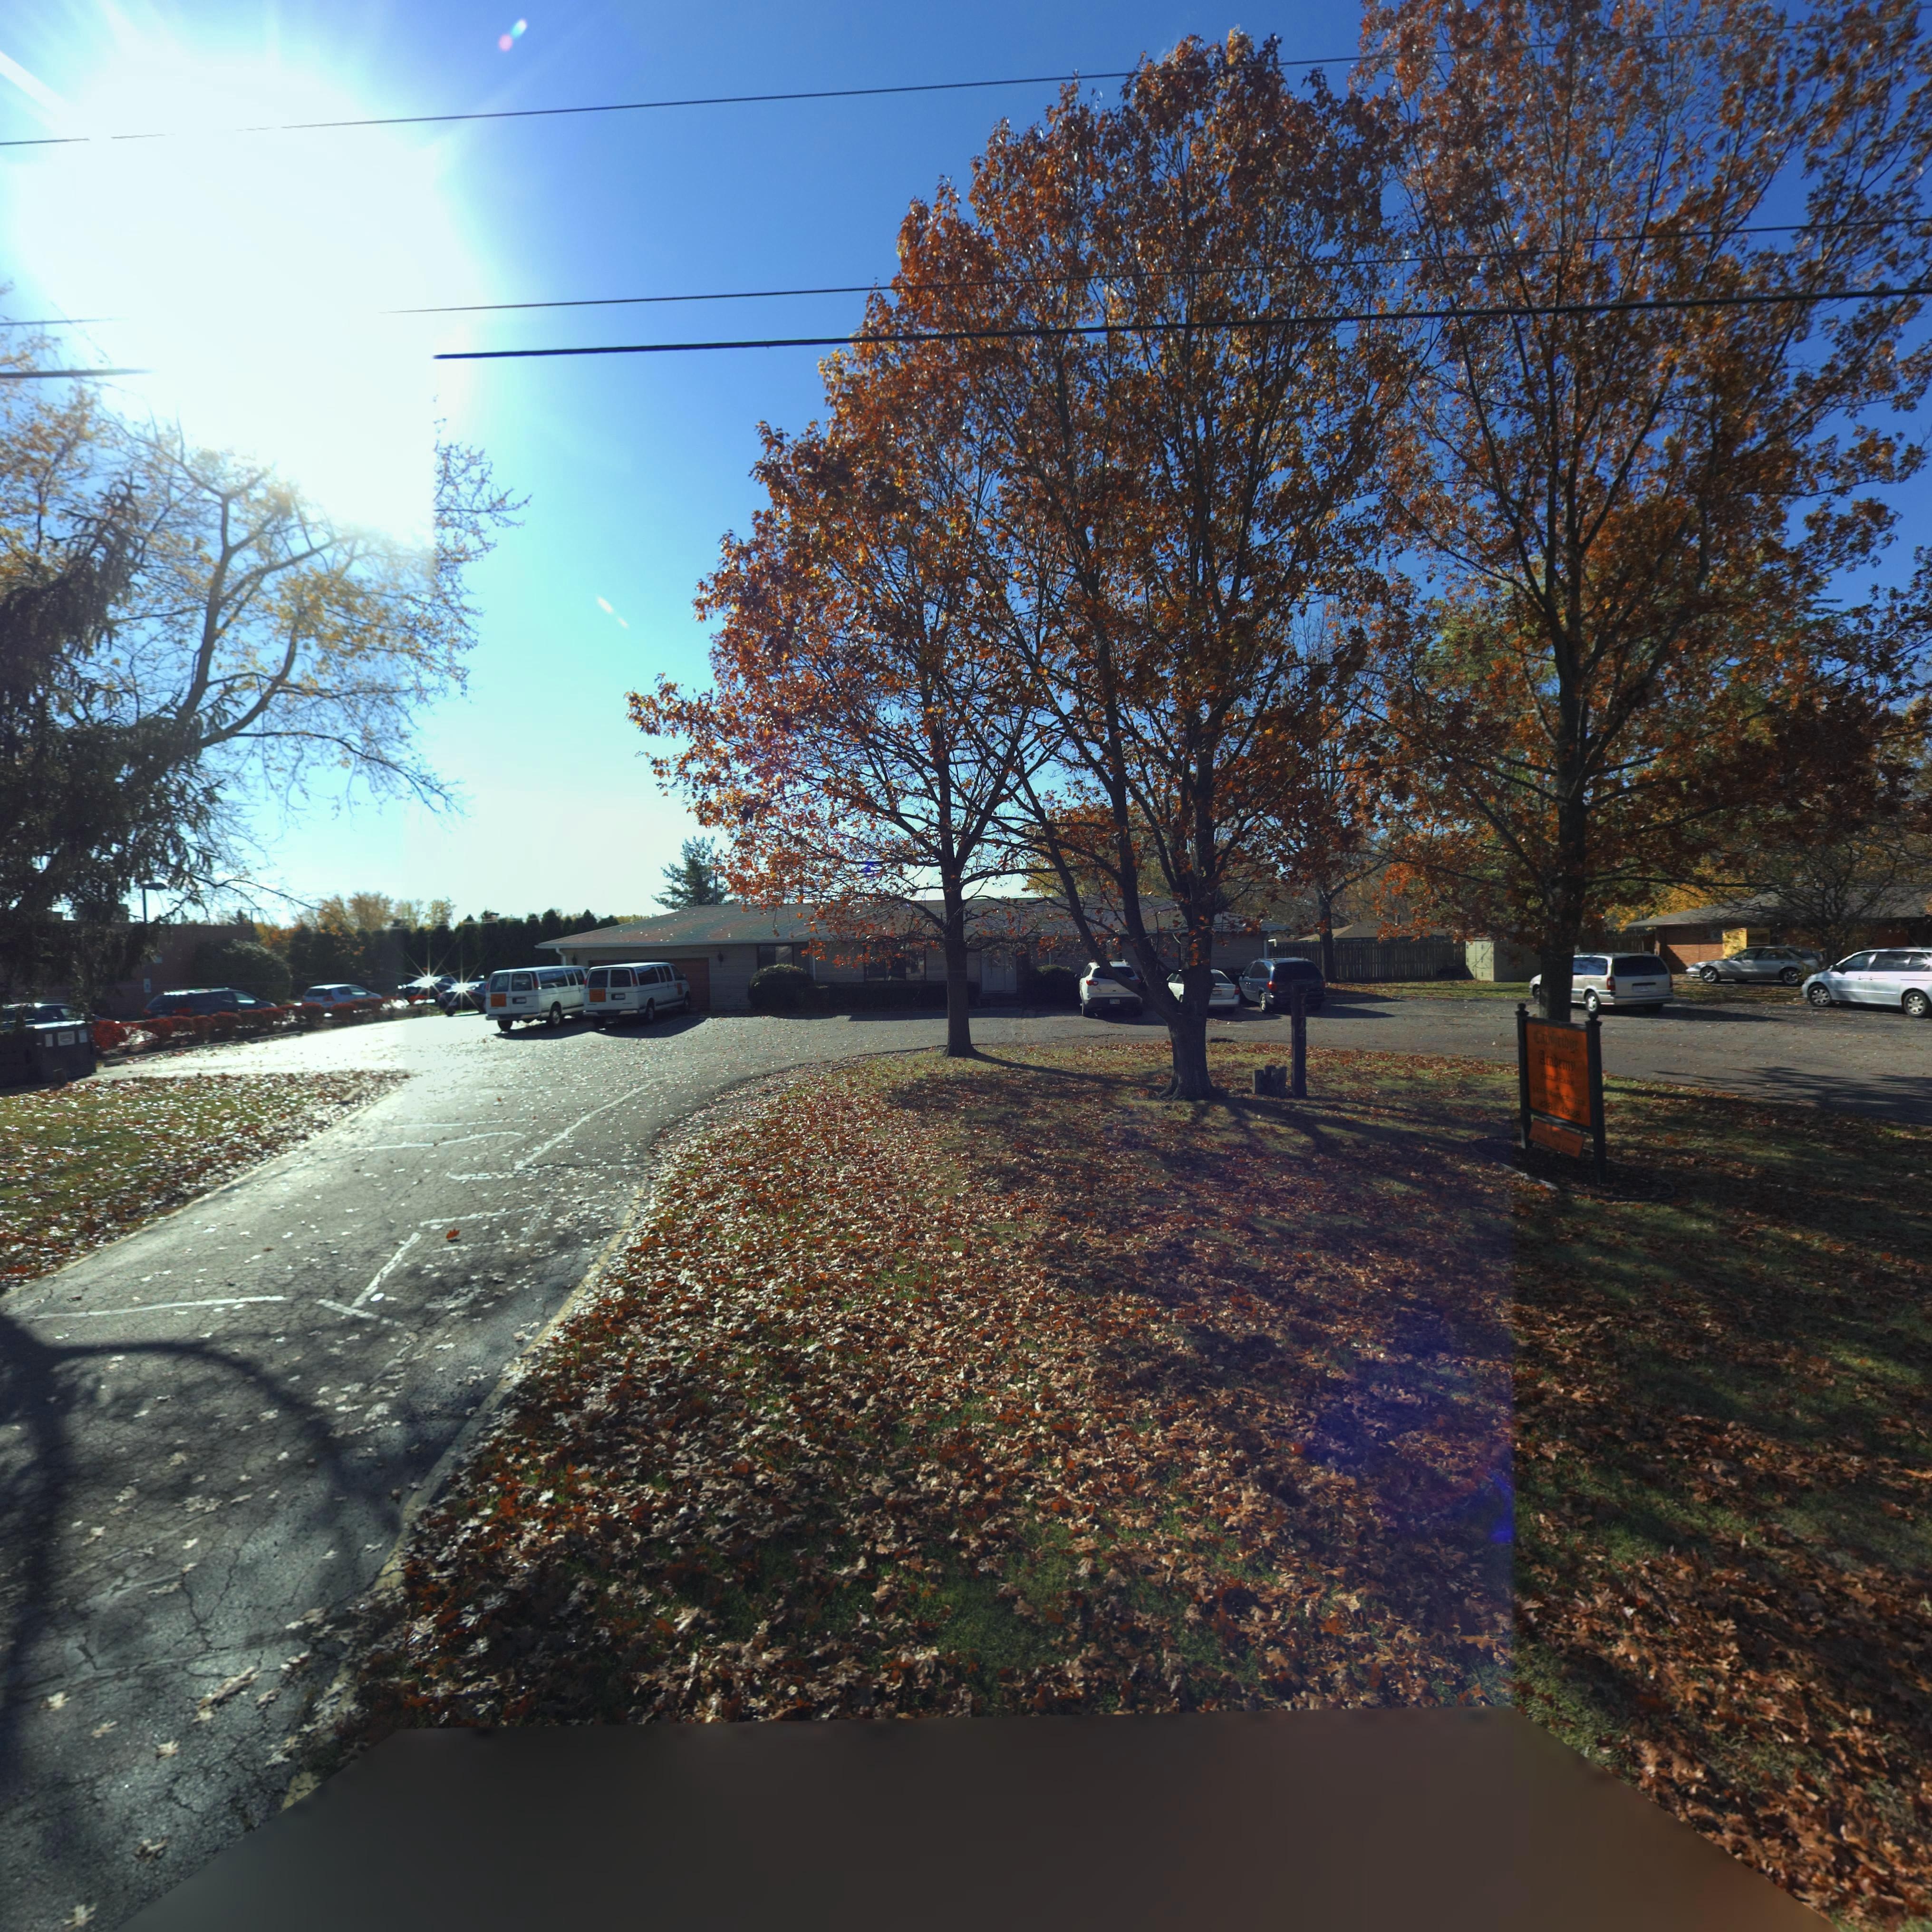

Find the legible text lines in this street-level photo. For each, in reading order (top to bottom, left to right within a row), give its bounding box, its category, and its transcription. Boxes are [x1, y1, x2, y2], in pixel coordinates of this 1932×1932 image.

[1298, 992, 1308, 1037] StreetNumber: 7172
[1532, 1028, 1580, 1054] BusinessName: Cam*ridge
[1536, 1049, 1577, 1073] BusinessName: Academy